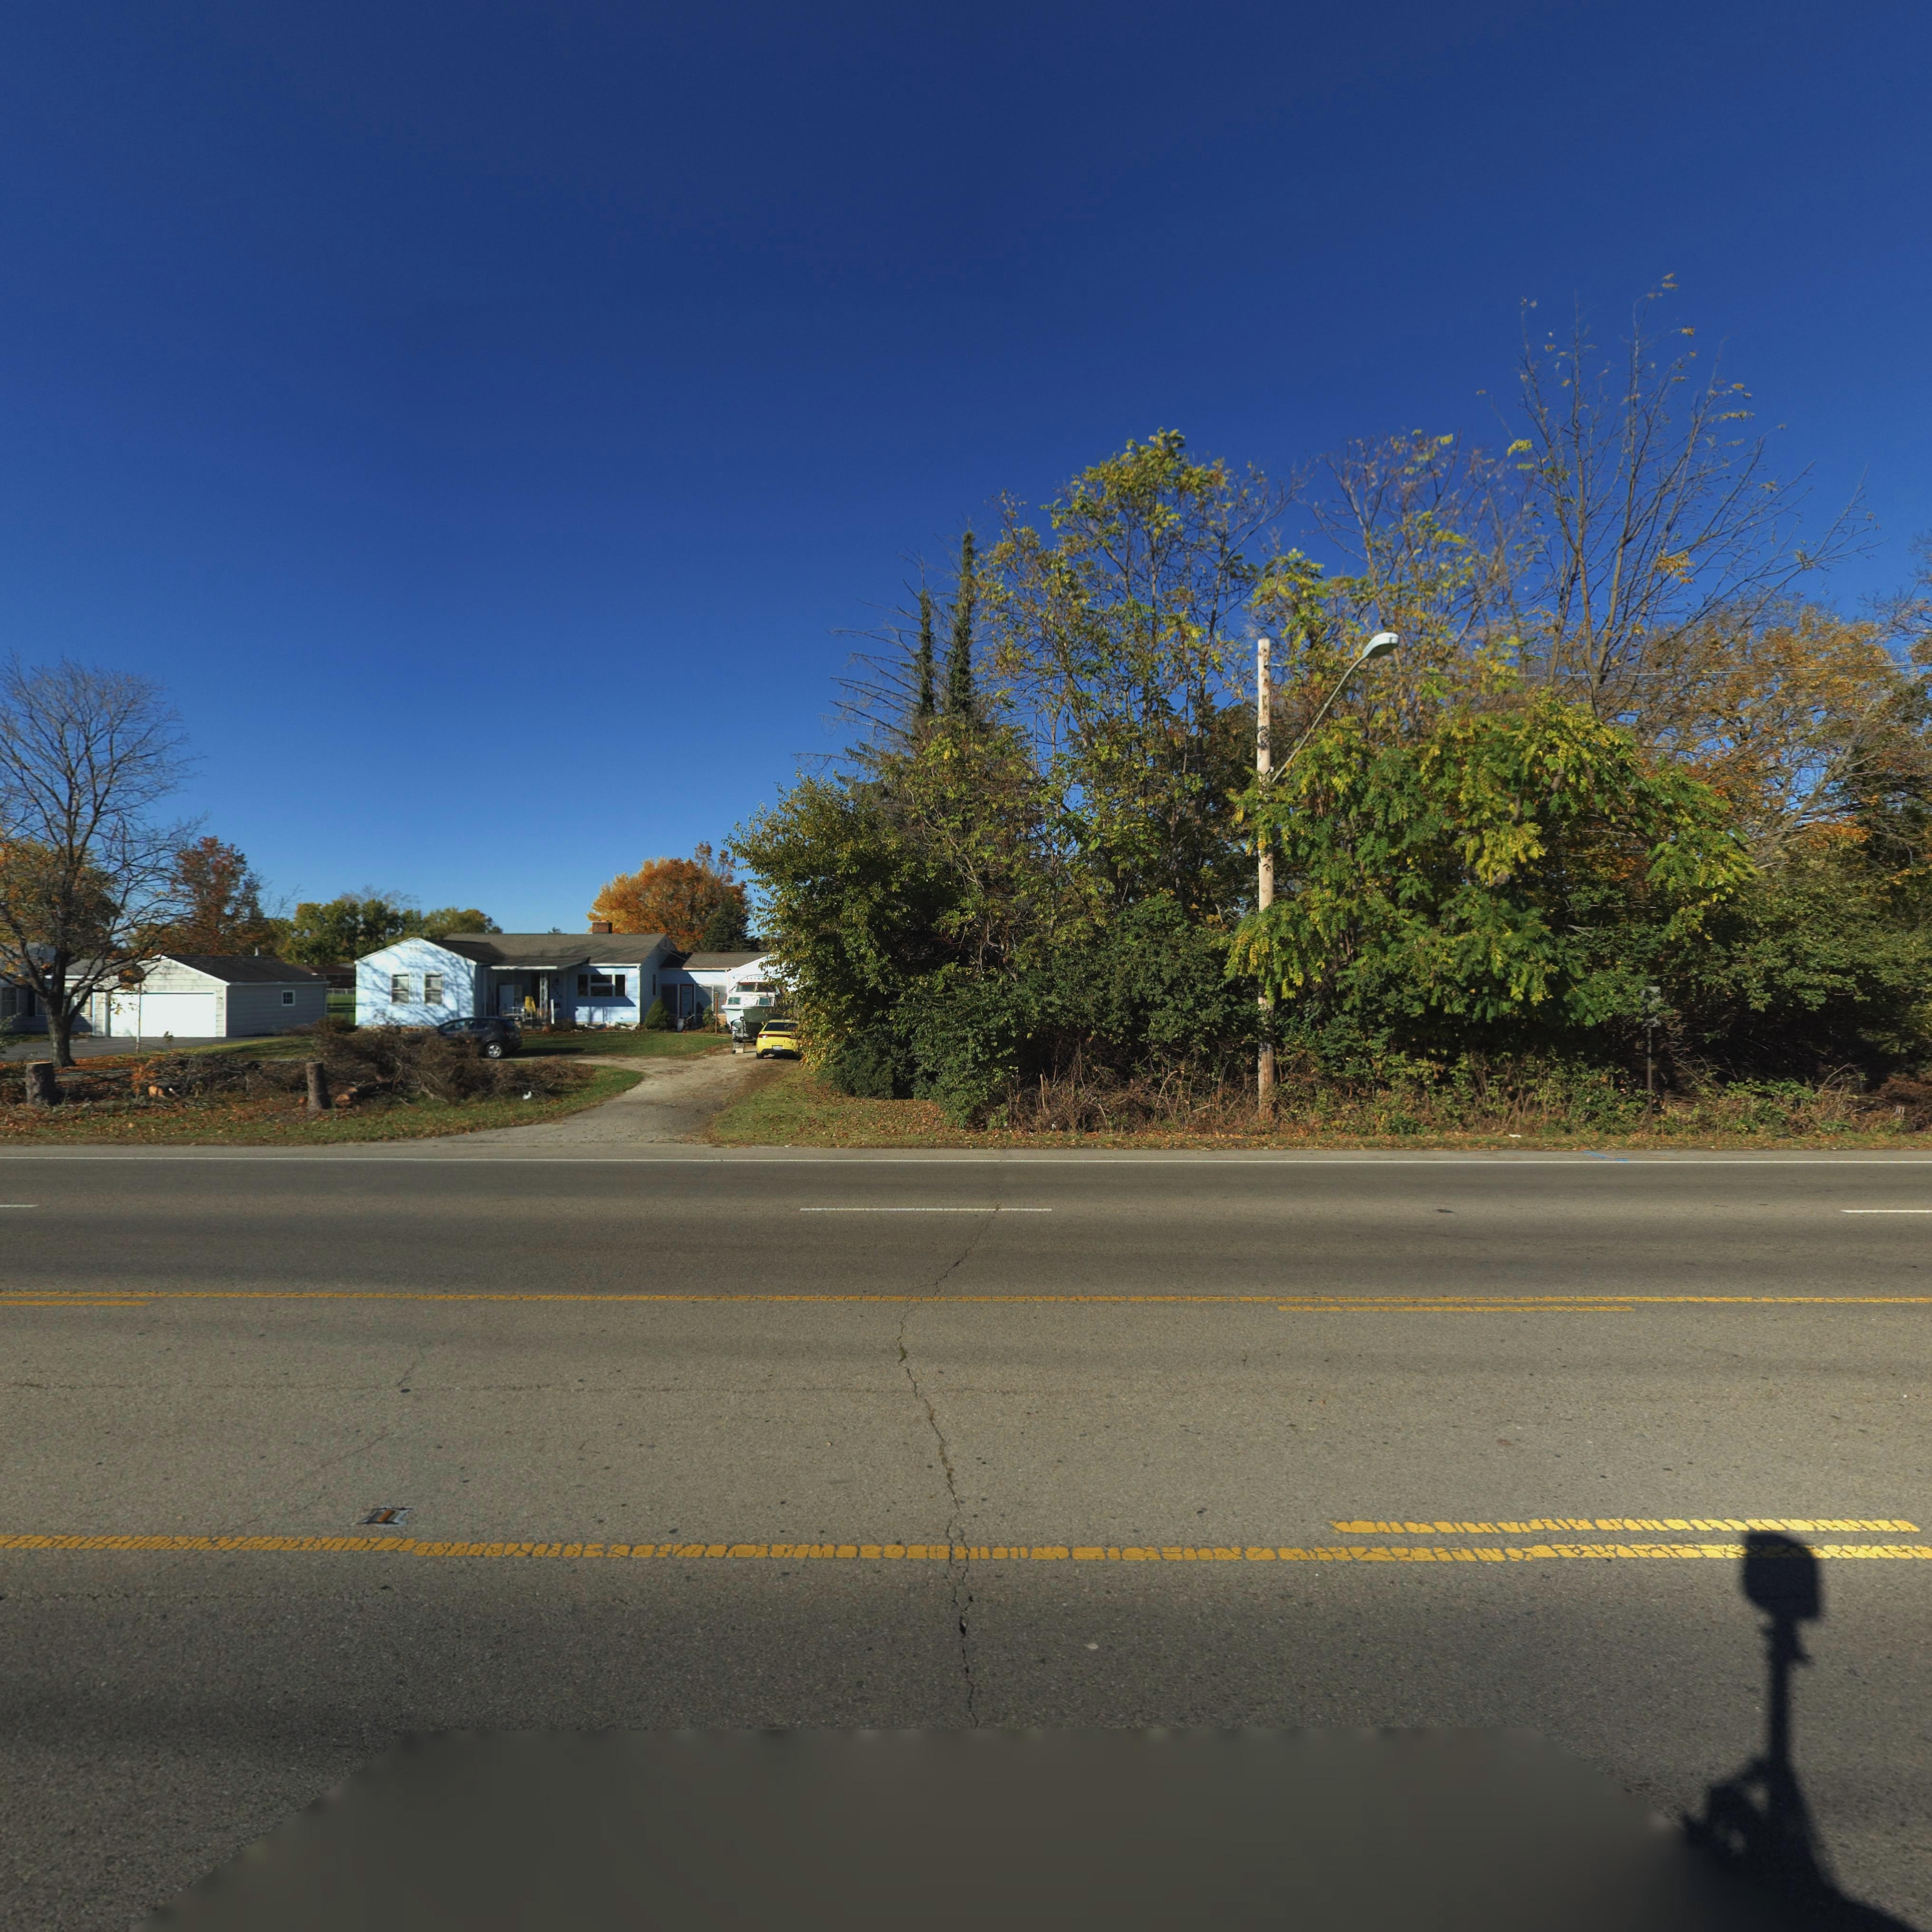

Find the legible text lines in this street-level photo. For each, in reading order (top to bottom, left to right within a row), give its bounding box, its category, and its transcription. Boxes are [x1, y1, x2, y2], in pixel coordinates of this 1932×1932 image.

[551, 984, 563, 999] StreetNumber: 571*